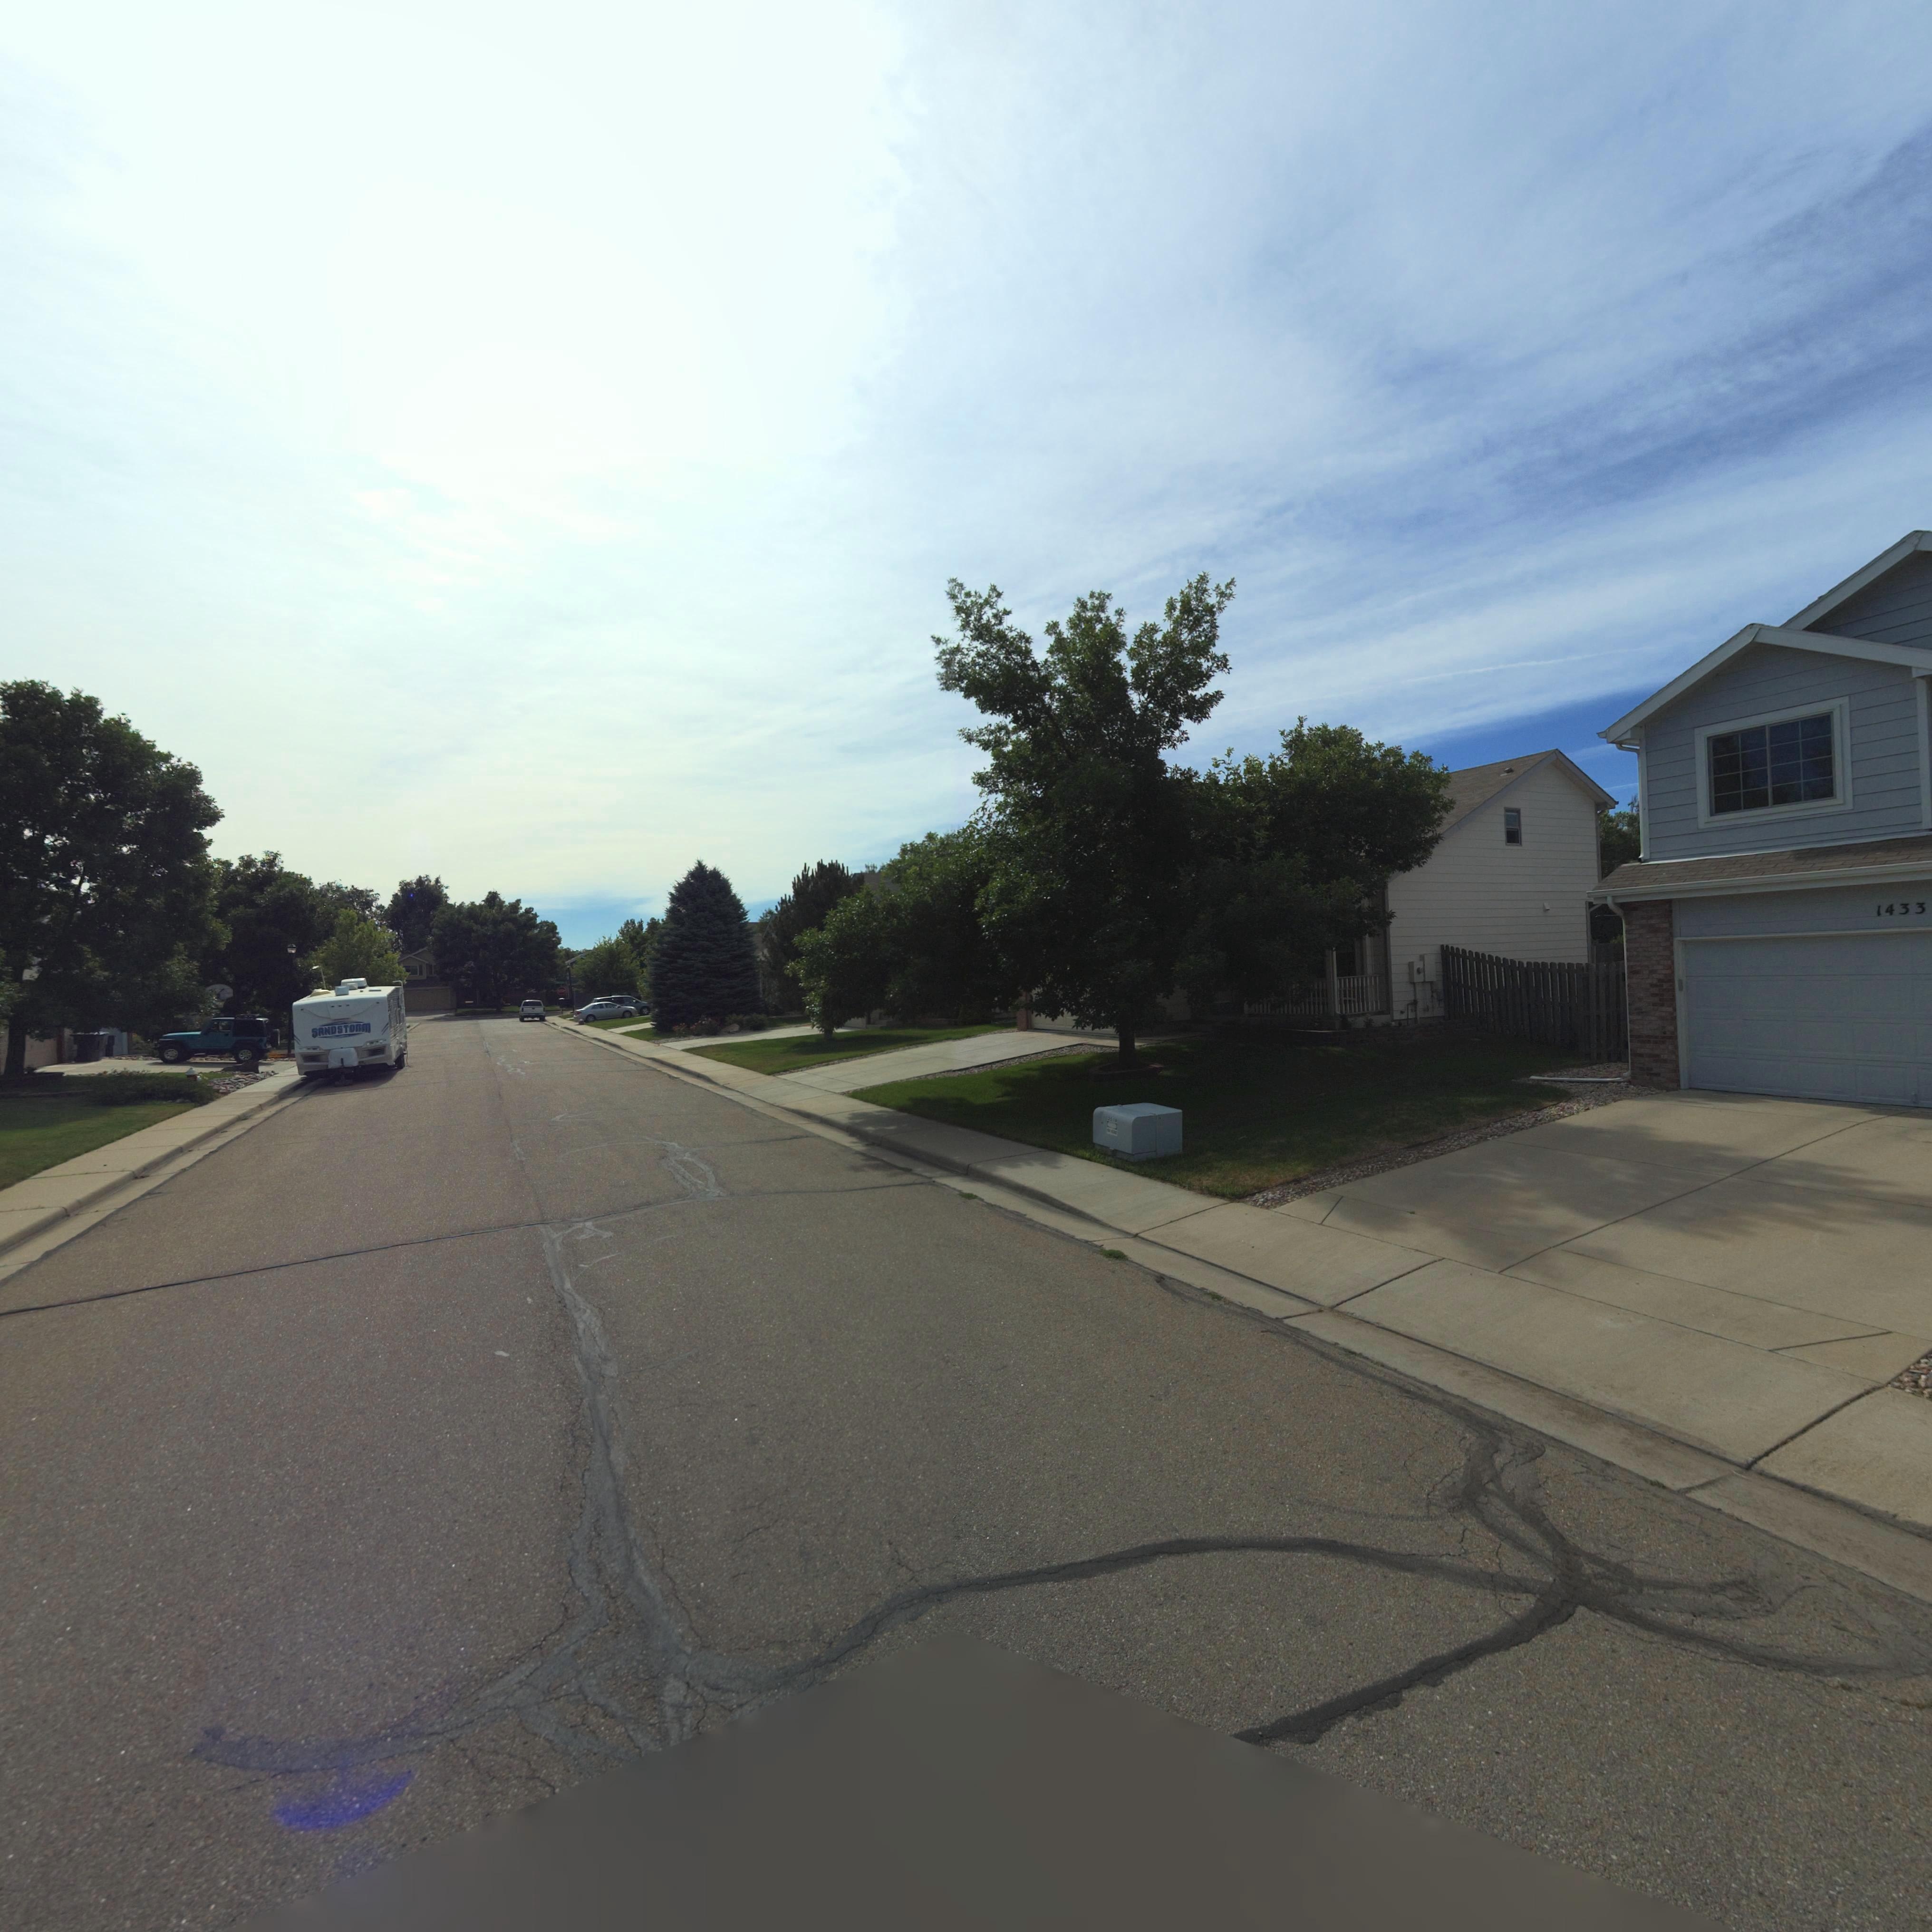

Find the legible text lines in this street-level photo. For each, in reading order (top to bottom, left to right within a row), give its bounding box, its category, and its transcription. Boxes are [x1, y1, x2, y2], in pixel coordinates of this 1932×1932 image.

[1876, 901, 1926, 917] StreetNumber: 1433